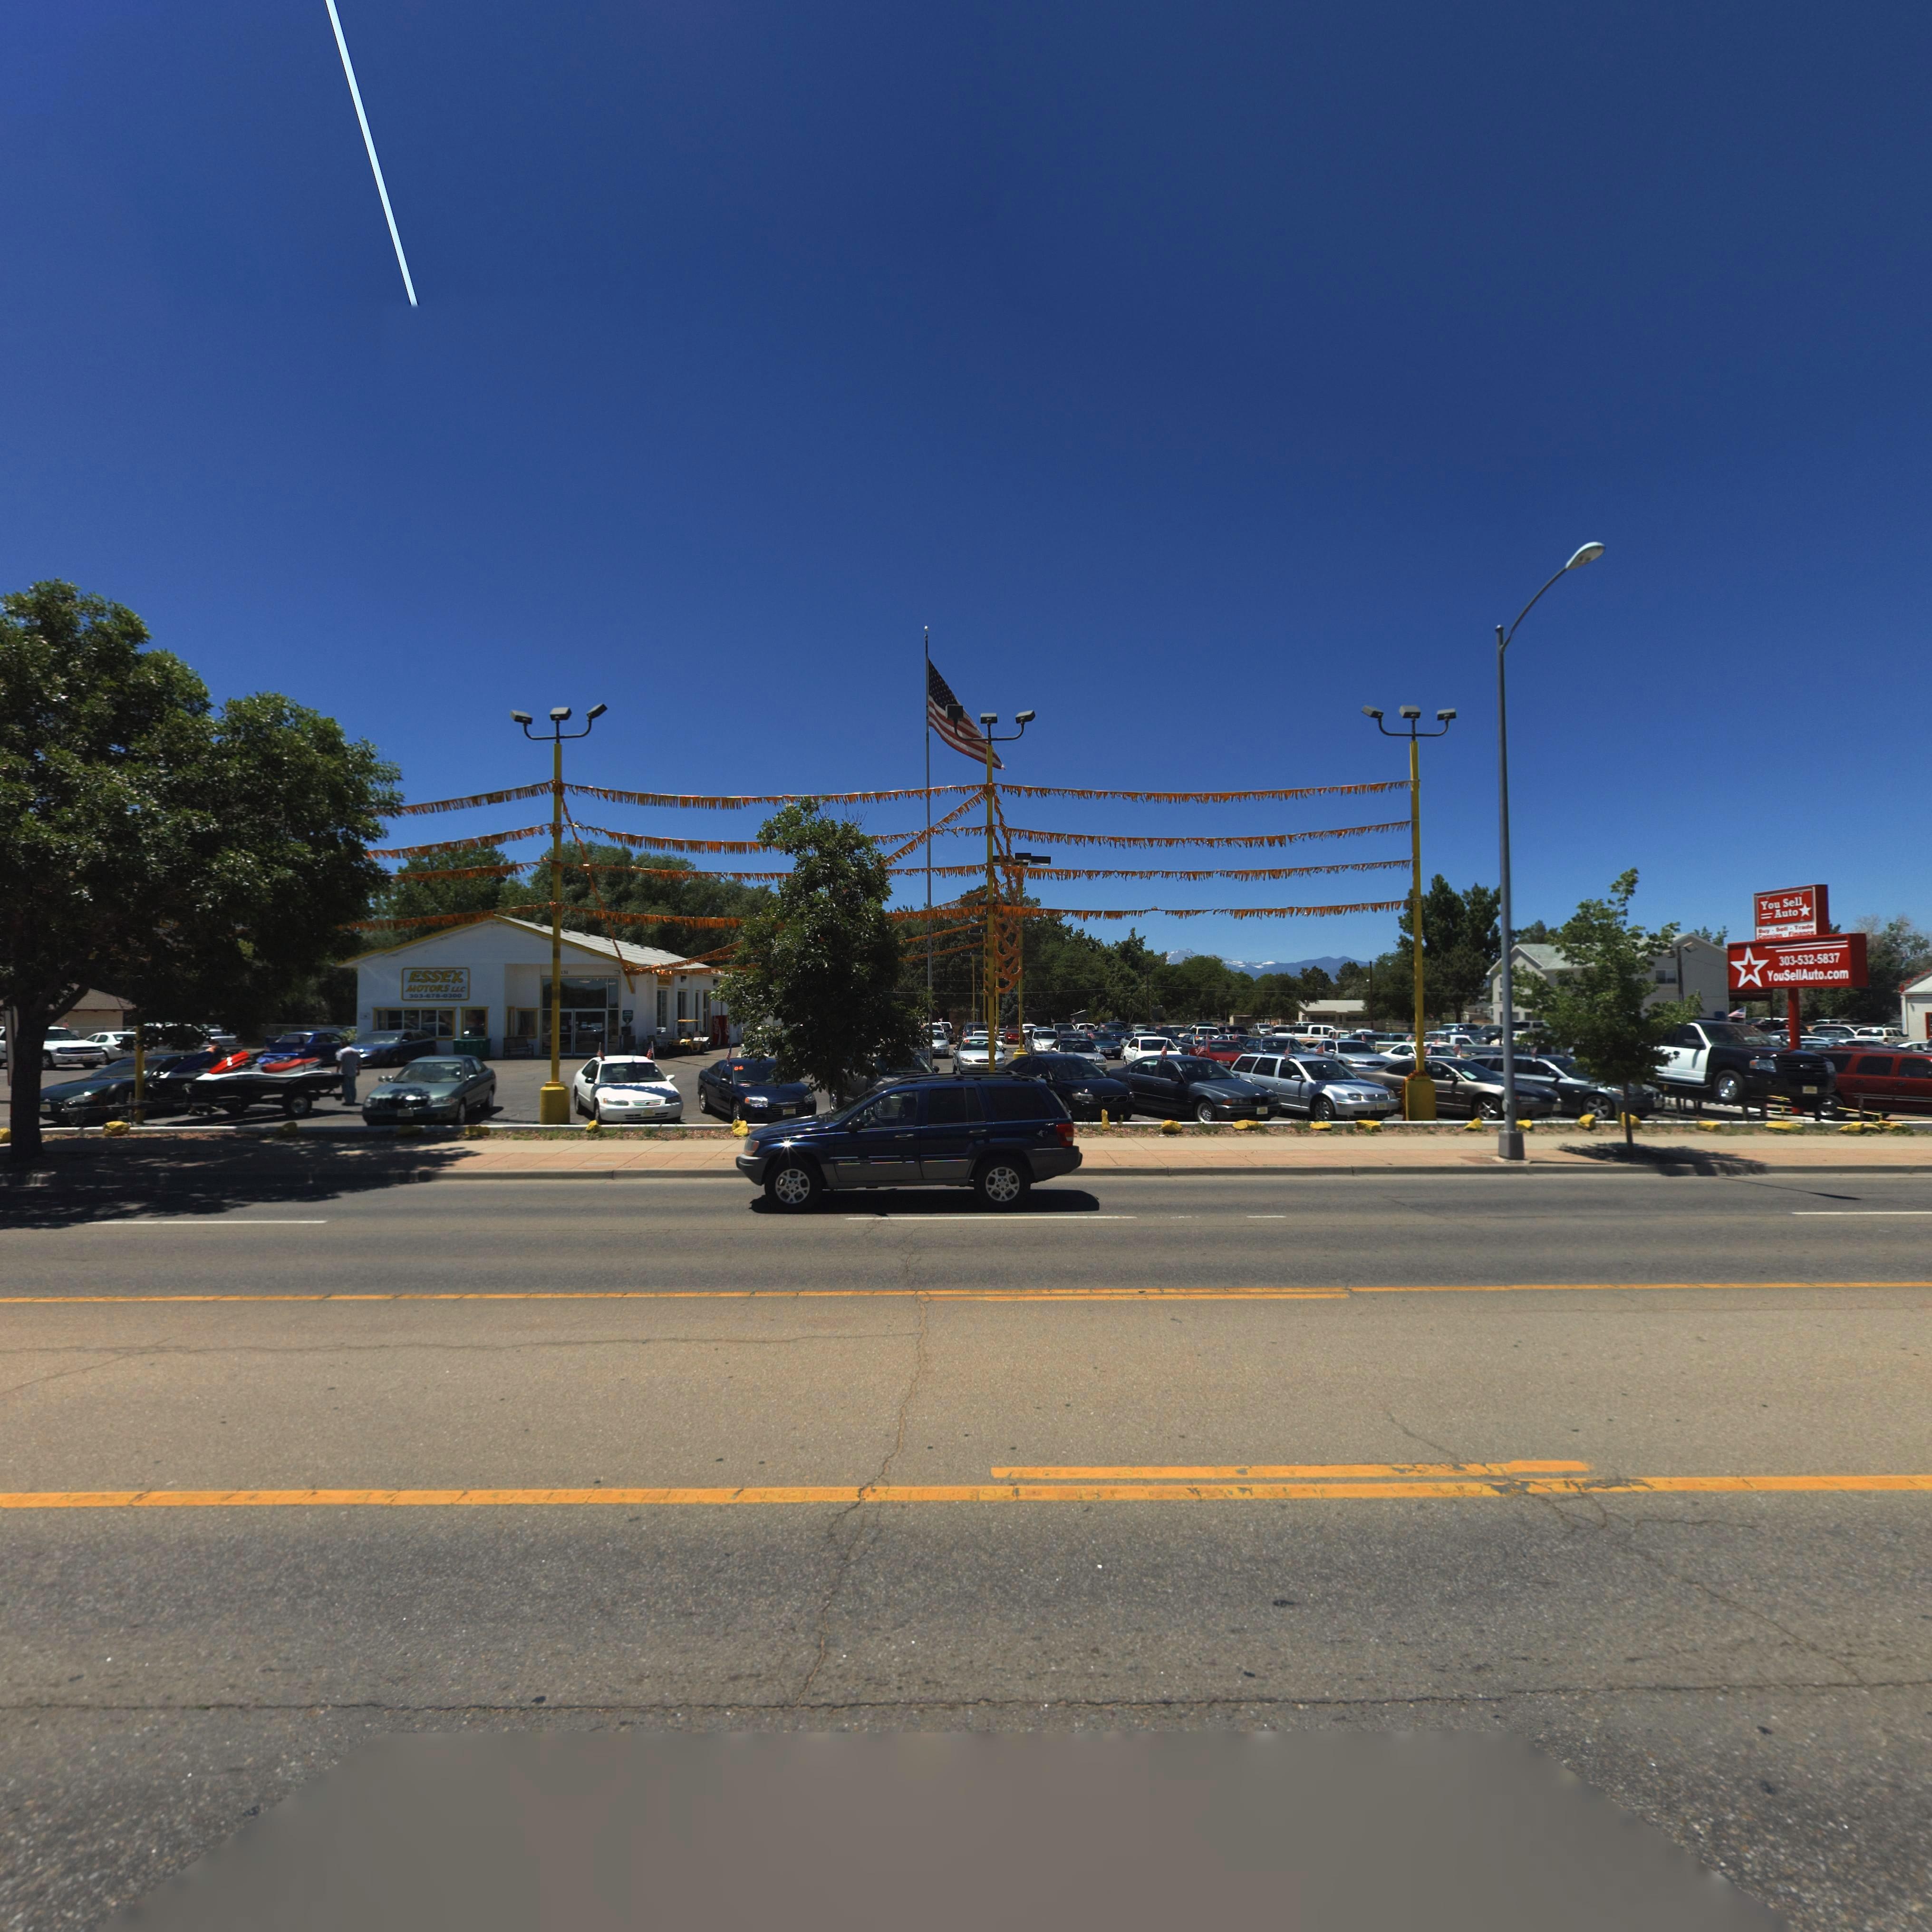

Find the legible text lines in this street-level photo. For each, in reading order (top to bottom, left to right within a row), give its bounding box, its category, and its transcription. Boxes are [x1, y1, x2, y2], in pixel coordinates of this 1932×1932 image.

[1760, 896, 1804, 910] BusinessName: You Sell
[1774, 908, 1798, 918] BusinessName: Auto
[406, 969, 464, 984] BusinessName: ESSEX
[560, 969, 569, 975] StreetNumber: 13*
[405, 984, 466, 993] BusinessName: MOTORS LLC